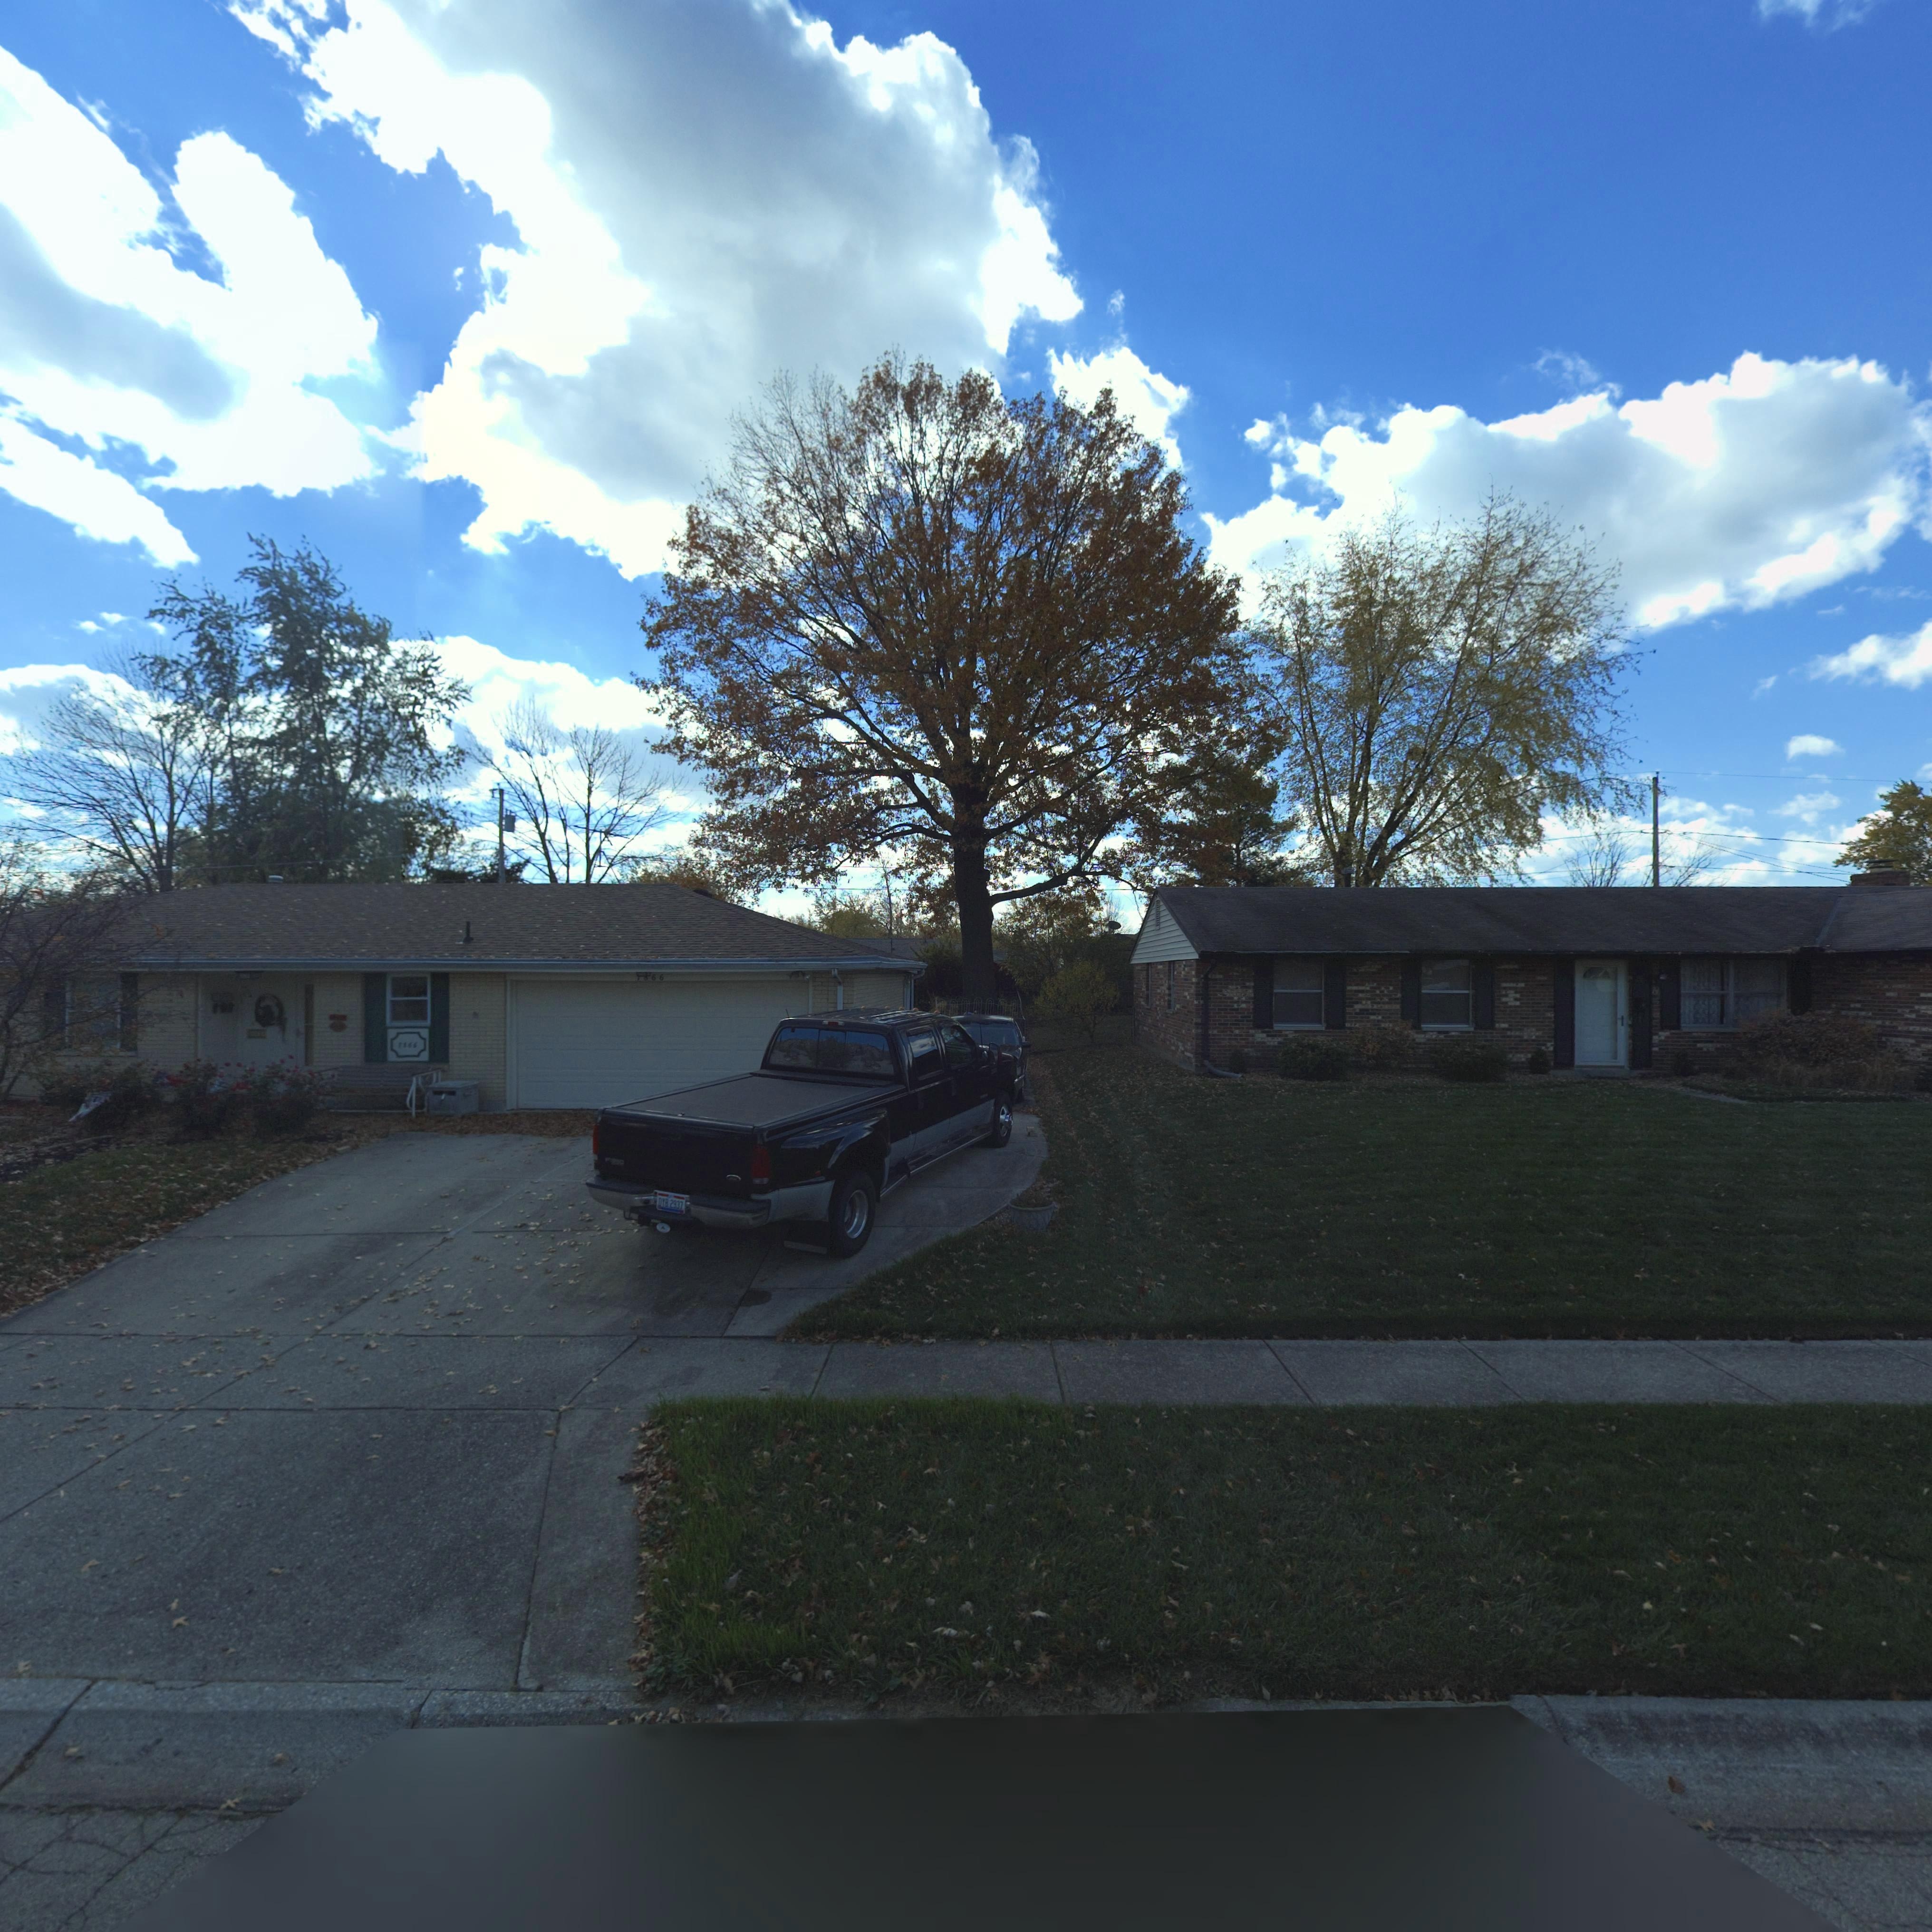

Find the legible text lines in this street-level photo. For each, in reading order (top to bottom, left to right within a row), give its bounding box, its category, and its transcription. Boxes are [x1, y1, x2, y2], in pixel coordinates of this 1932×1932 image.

[651, 974, 665, 981] StreetNumber: 66
[397, 1041, 419, 1049] StreetNumber: 7866